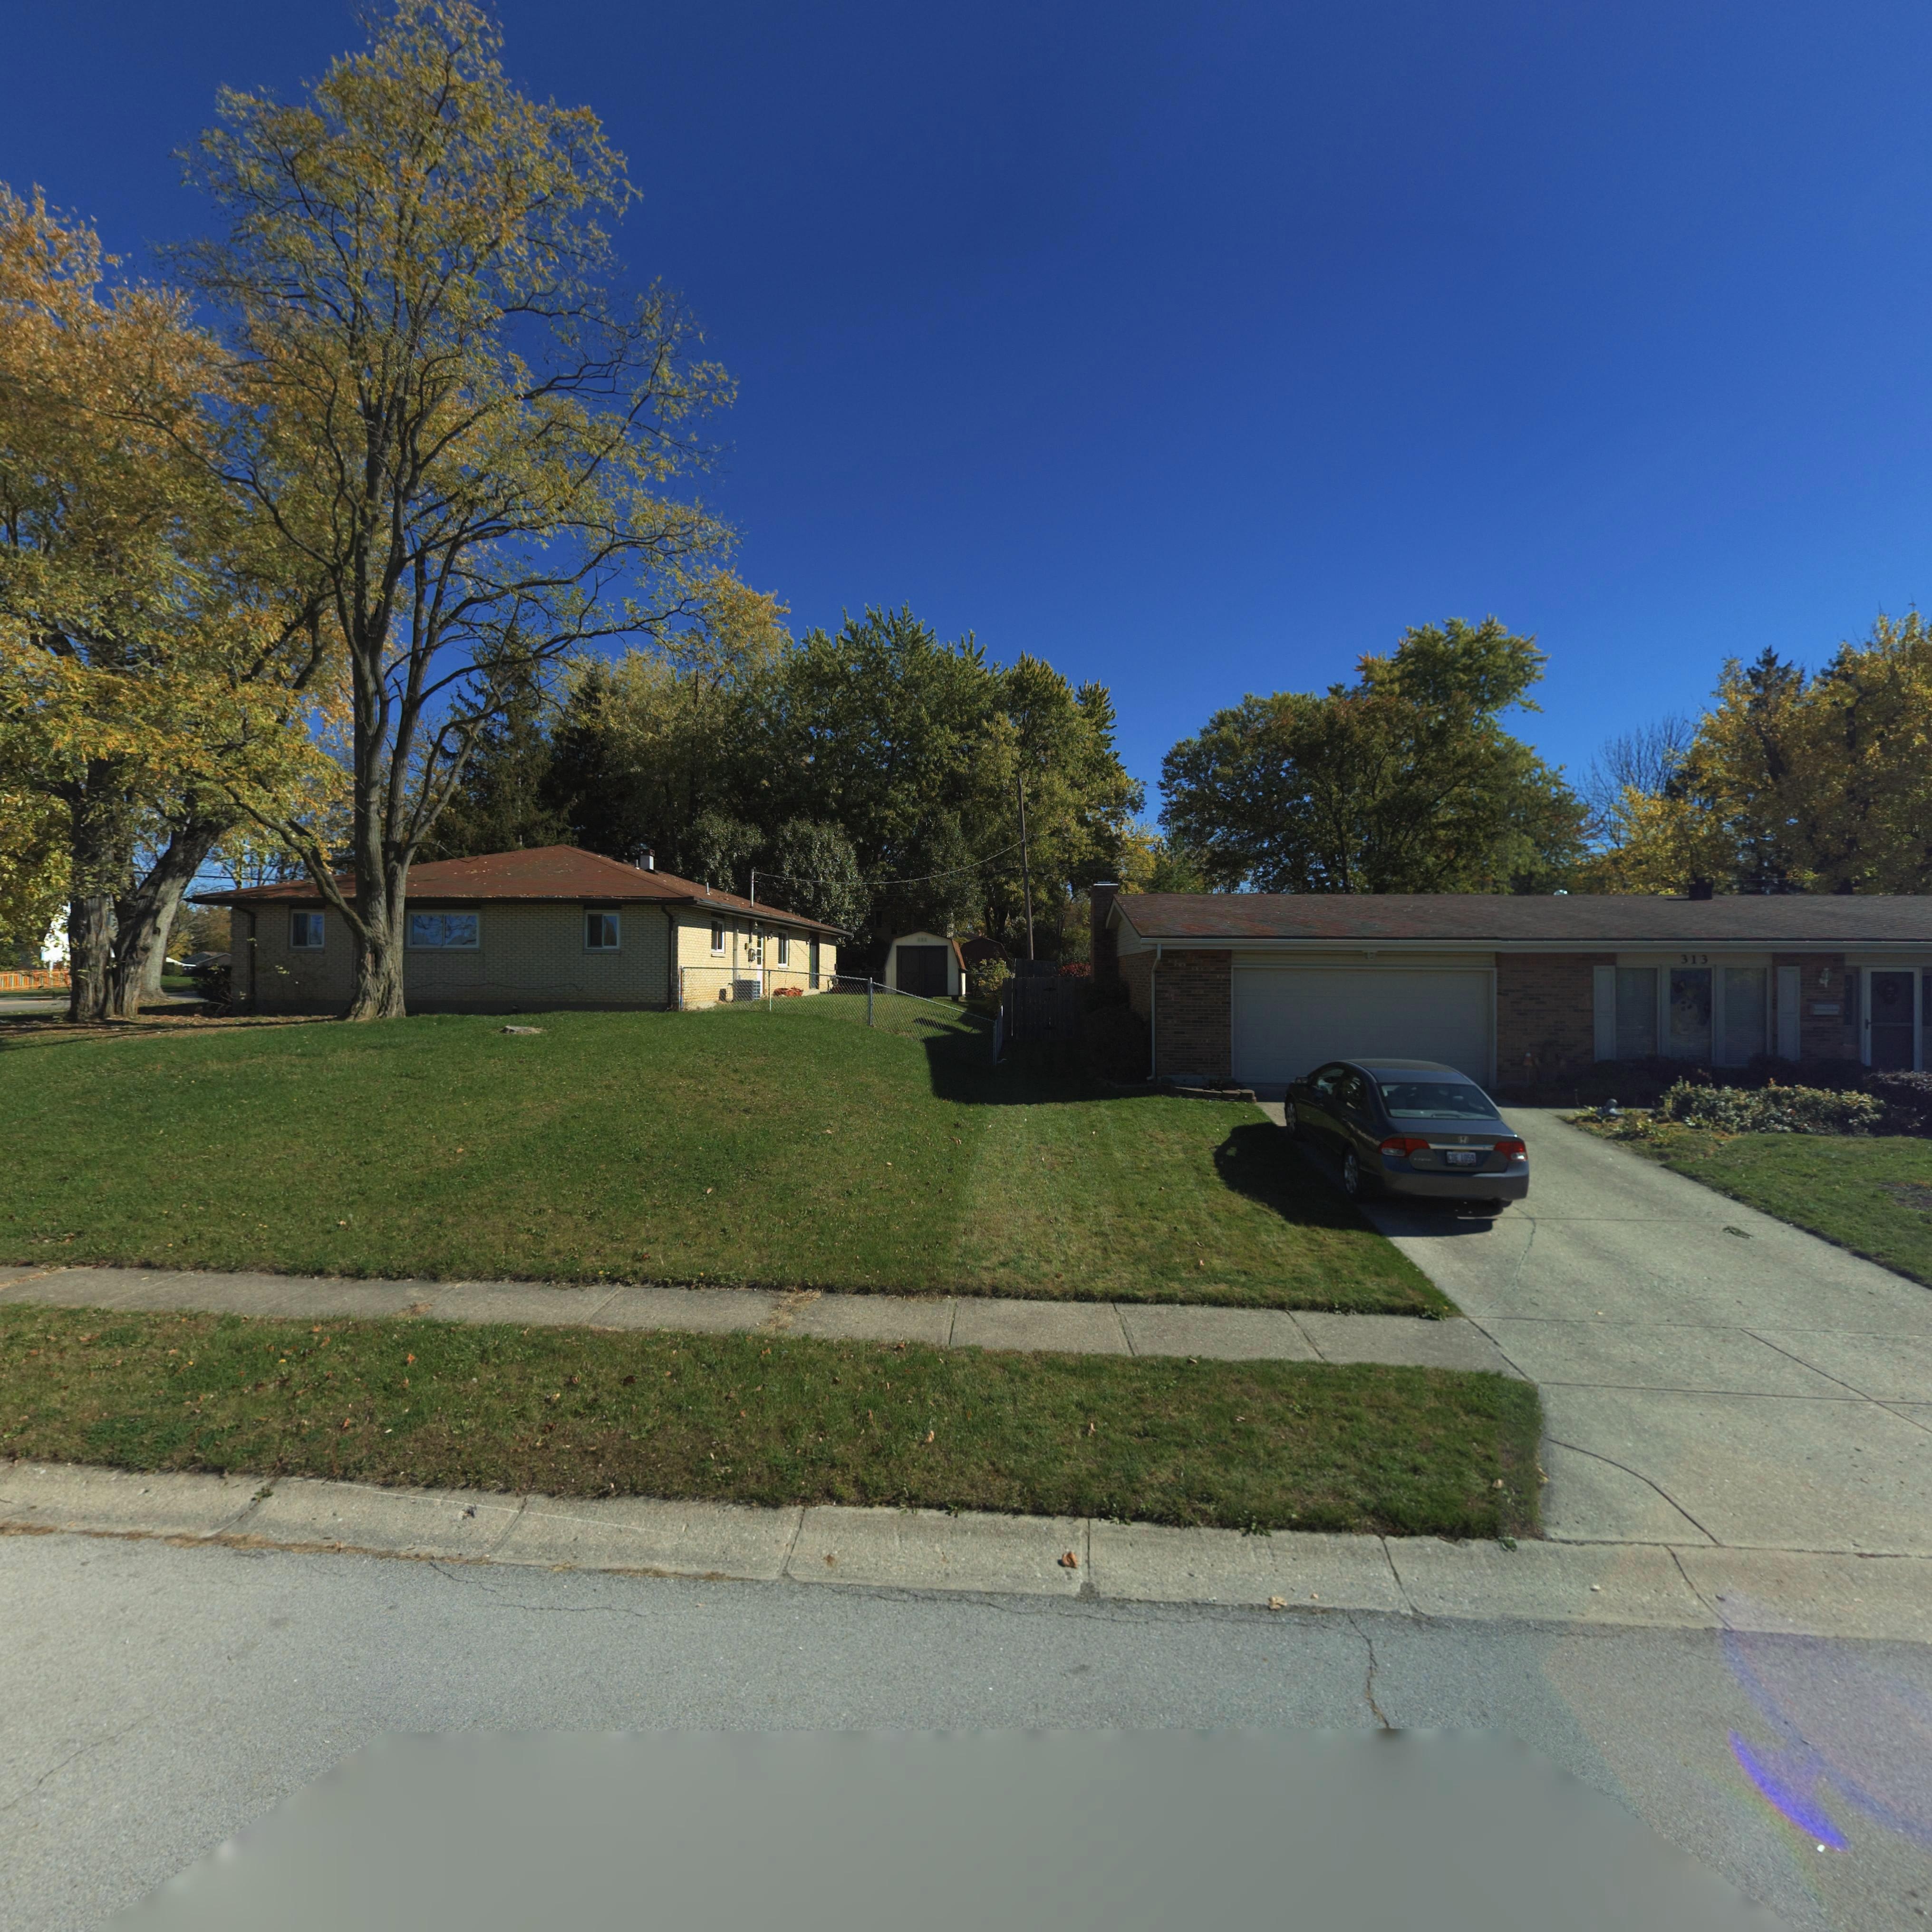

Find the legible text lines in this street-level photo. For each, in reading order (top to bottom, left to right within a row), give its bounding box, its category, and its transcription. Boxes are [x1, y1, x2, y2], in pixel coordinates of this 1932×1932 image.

[1680, 954, 1708, 964] StreetNumber: 313